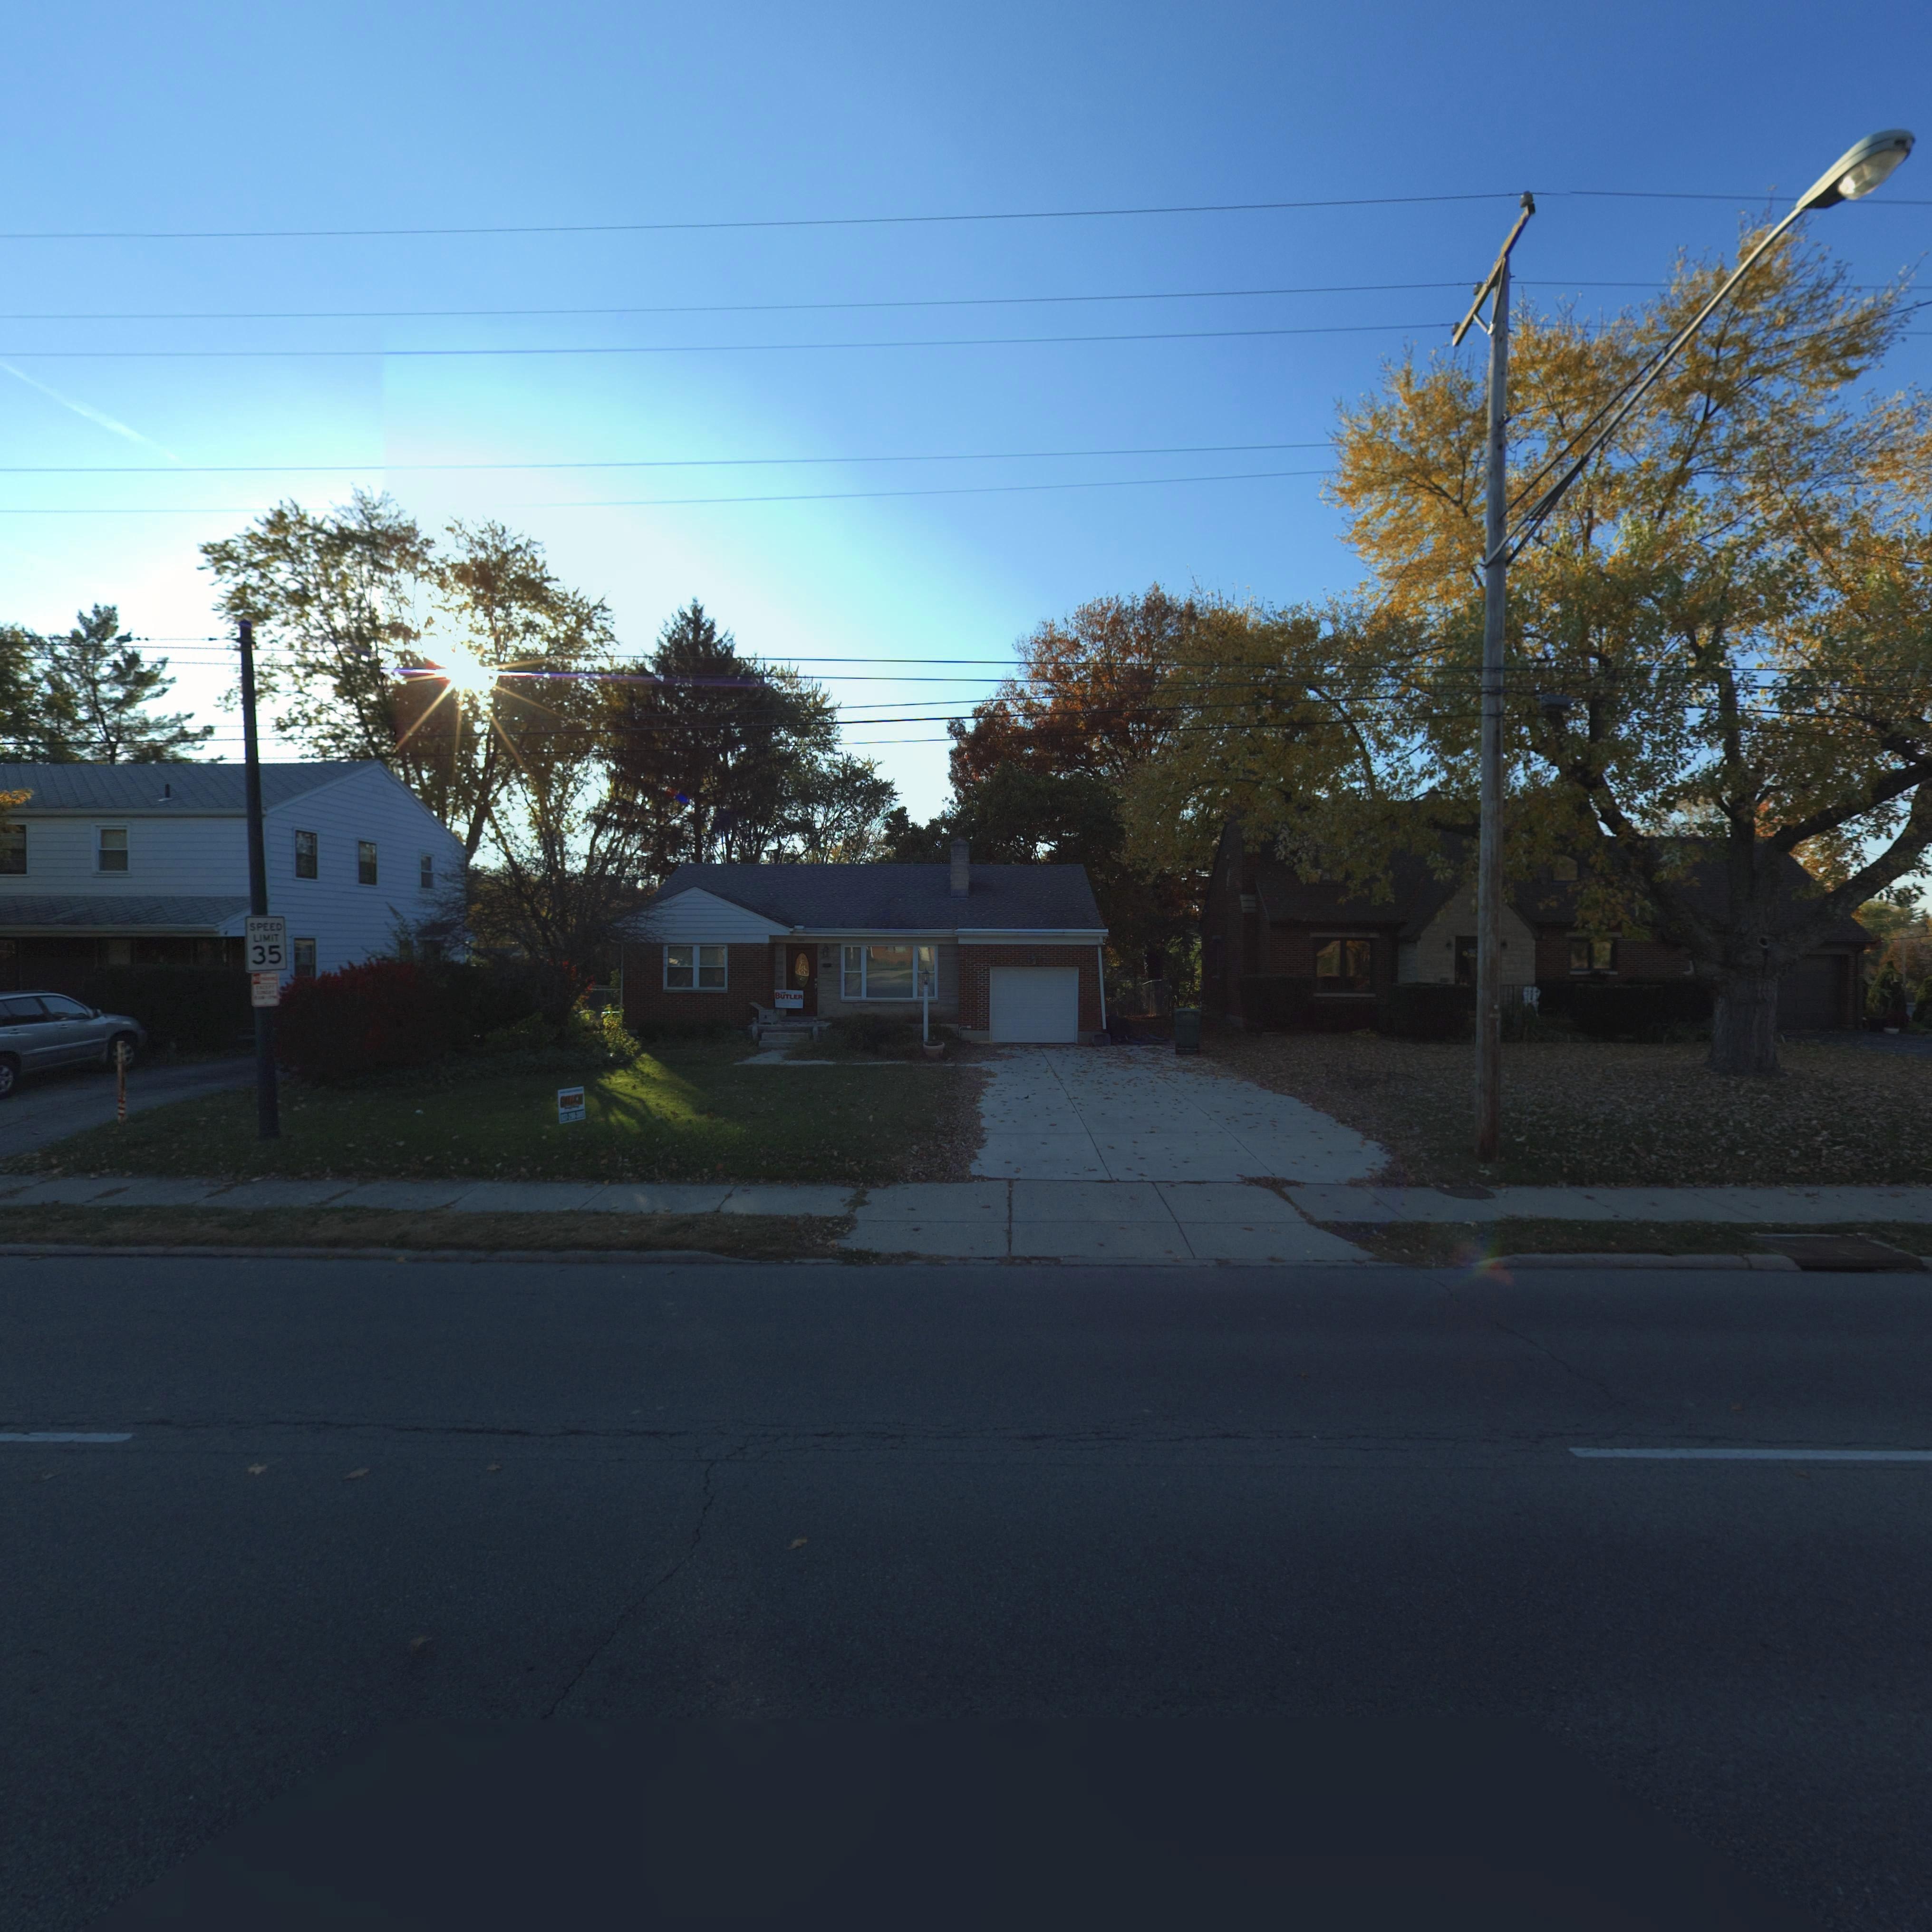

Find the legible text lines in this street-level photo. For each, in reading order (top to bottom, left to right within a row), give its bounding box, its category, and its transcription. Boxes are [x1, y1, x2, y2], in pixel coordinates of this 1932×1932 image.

[796, 937, 804, 942] StreetNumber: 381*